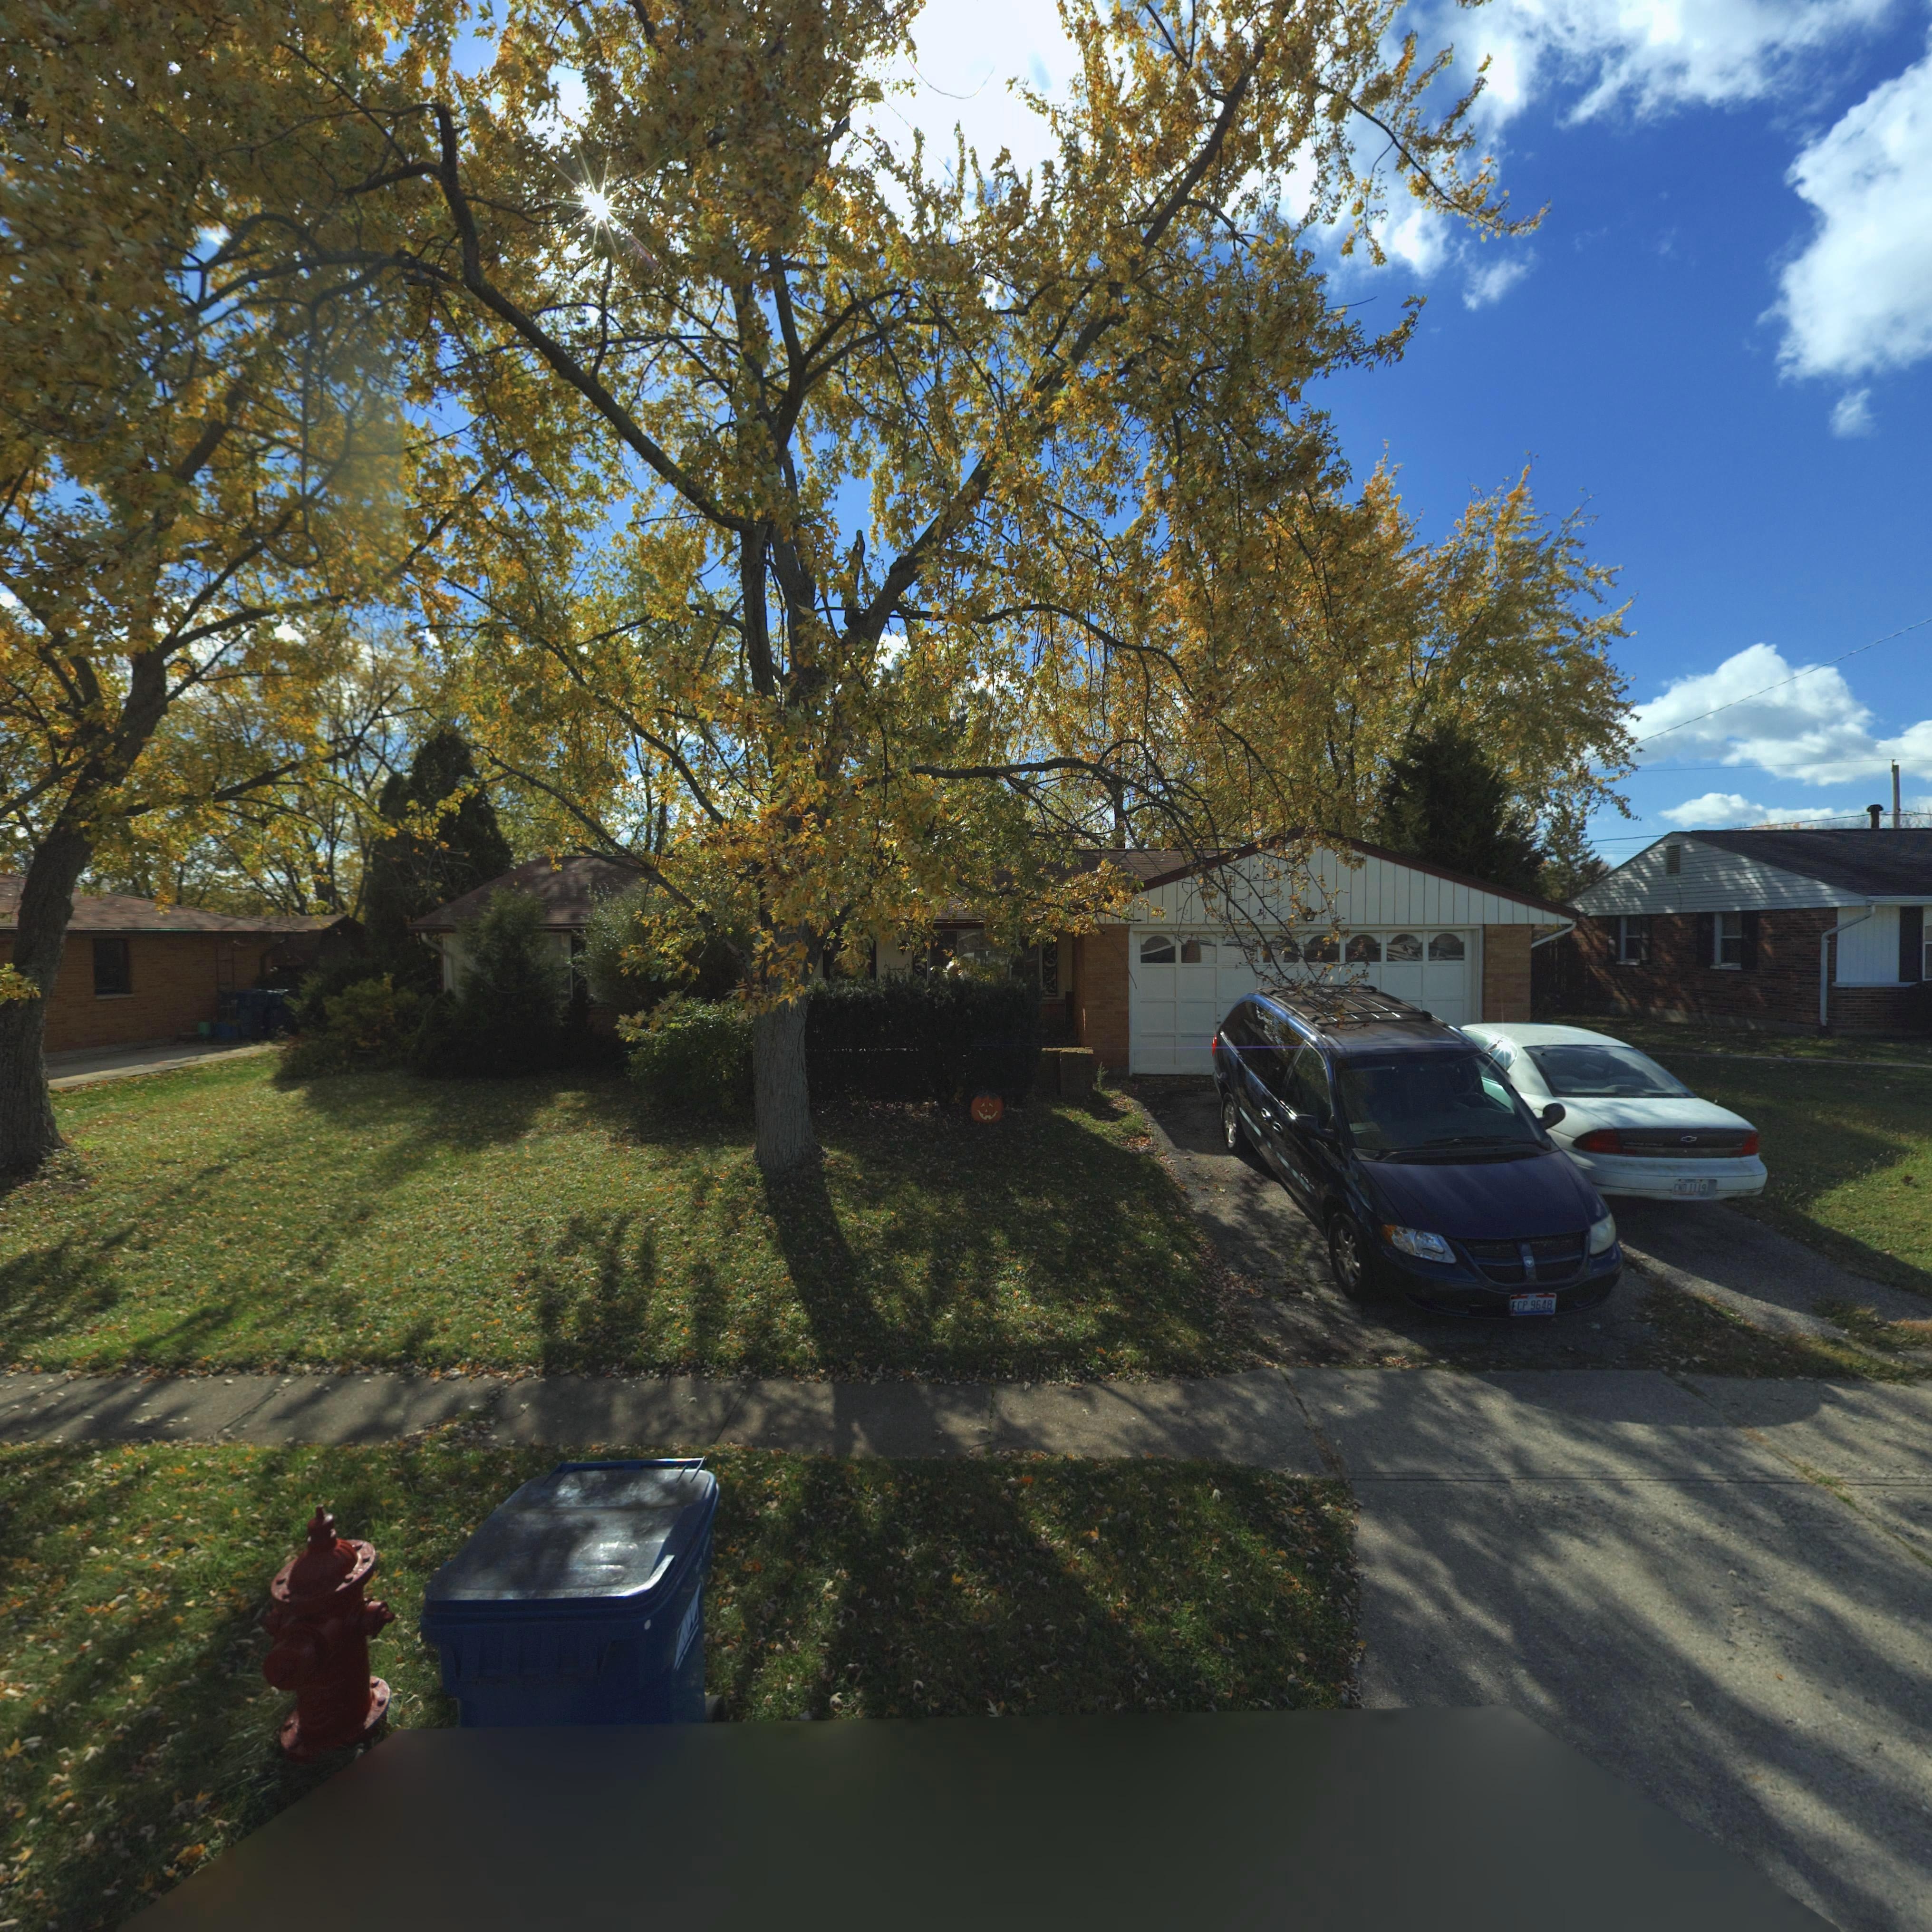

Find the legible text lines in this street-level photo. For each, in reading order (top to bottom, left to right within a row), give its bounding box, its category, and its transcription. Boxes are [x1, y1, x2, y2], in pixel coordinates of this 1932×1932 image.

[888, 968, 907, 976] StreetNumber: 6556